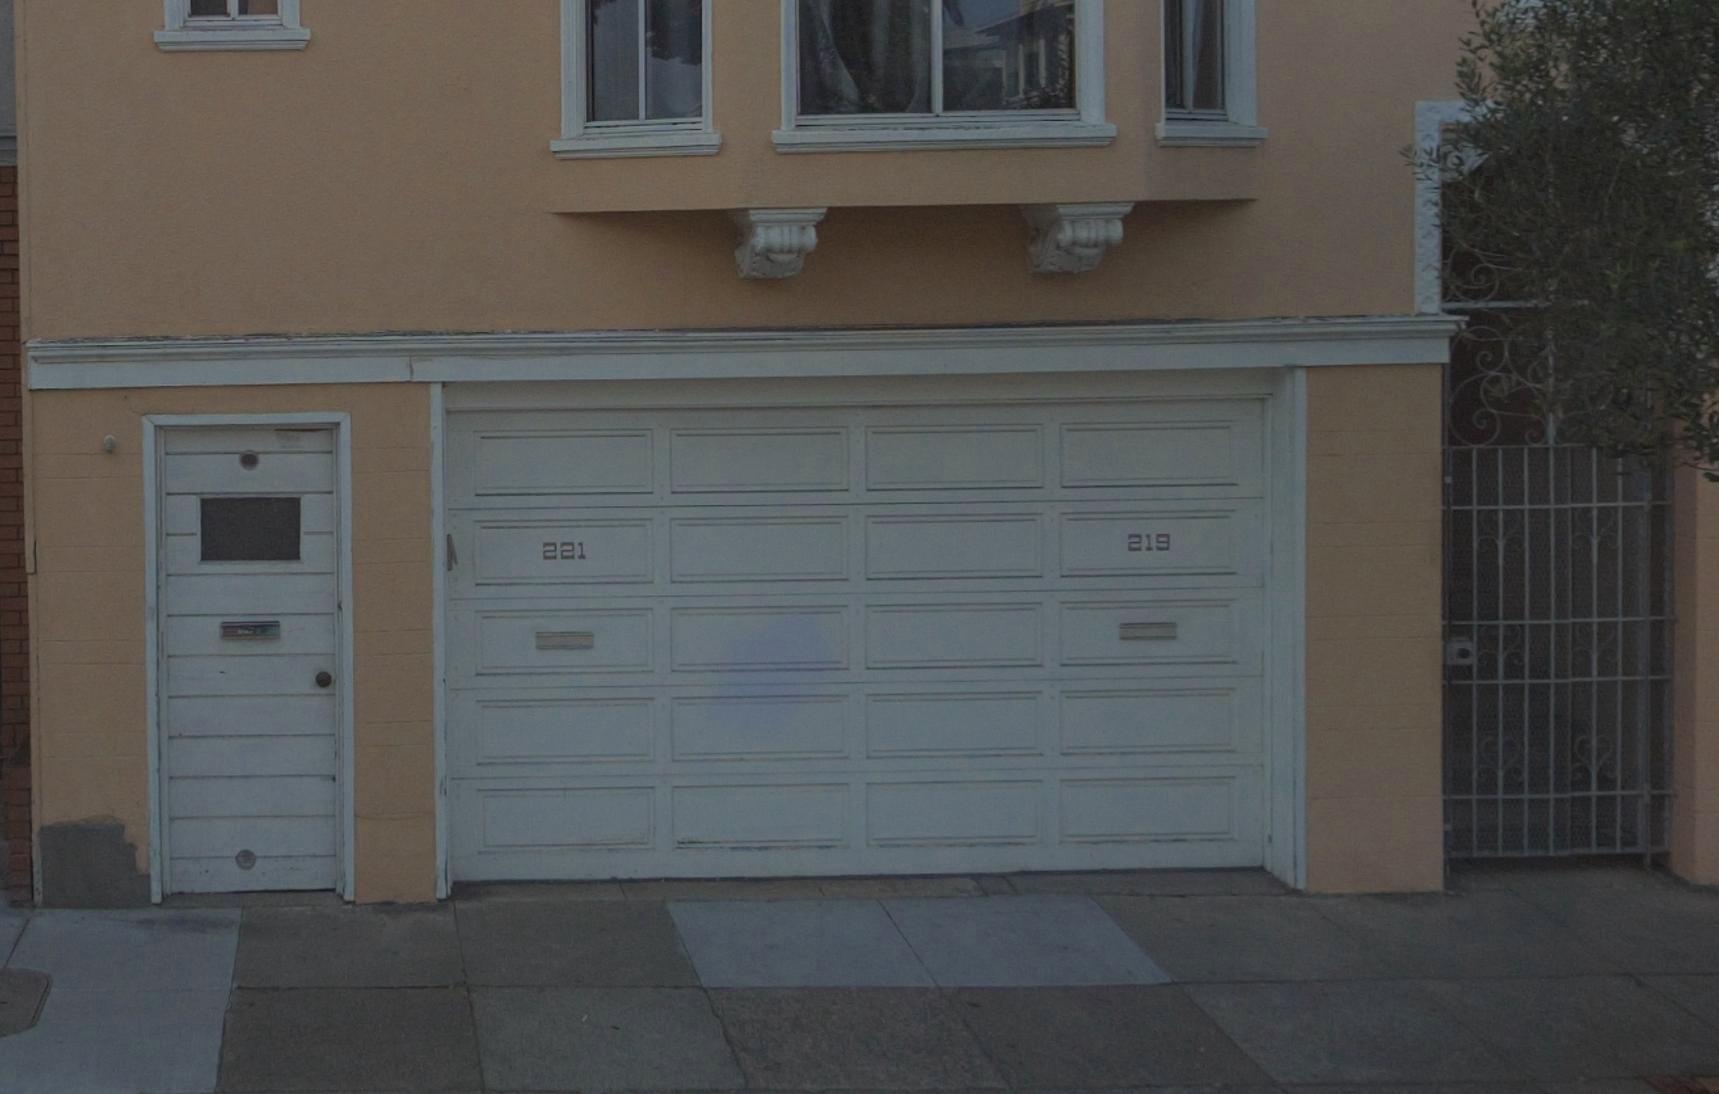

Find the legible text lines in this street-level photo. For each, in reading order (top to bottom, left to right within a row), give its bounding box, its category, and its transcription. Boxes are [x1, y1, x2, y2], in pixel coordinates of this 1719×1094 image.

[541, 541, 586, 561] StreetNumber: 221
[1127, 533, 1171, 552] StreetNumber: 219